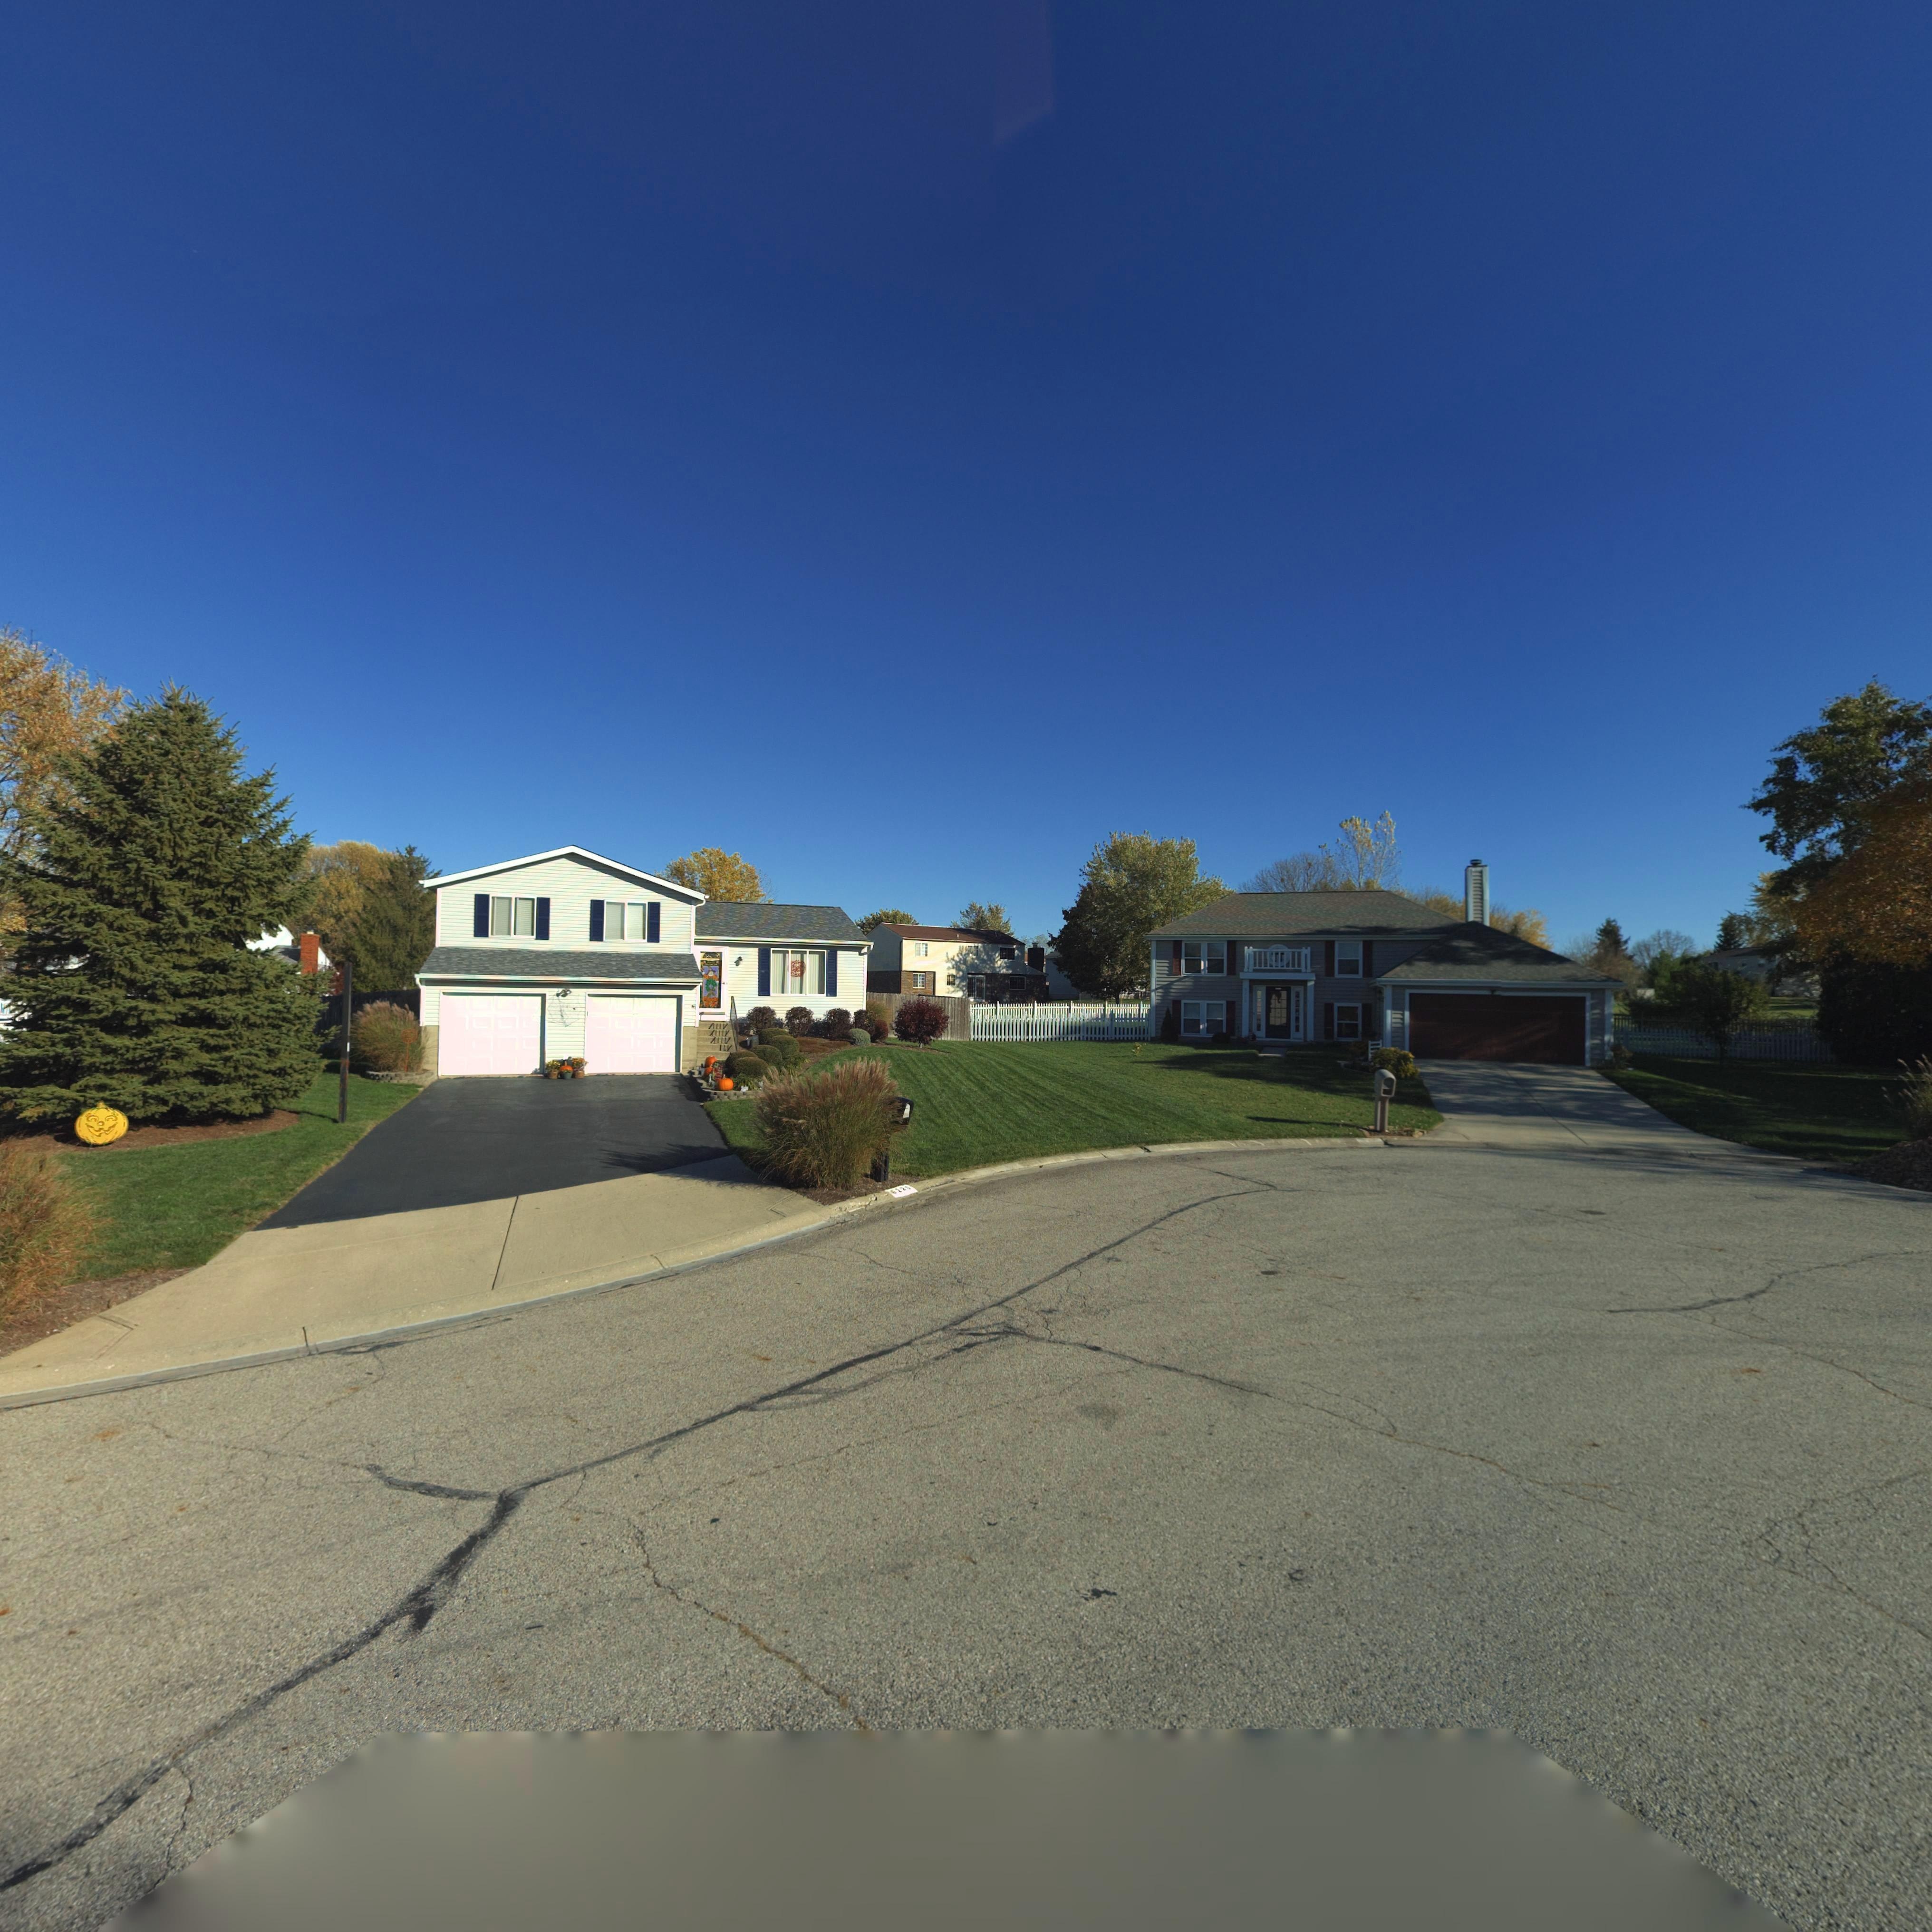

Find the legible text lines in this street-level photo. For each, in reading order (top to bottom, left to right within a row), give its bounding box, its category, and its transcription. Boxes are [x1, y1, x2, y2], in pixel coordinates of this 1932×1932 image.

[889, 1185, 912, 1195] StreetNumber: 622*